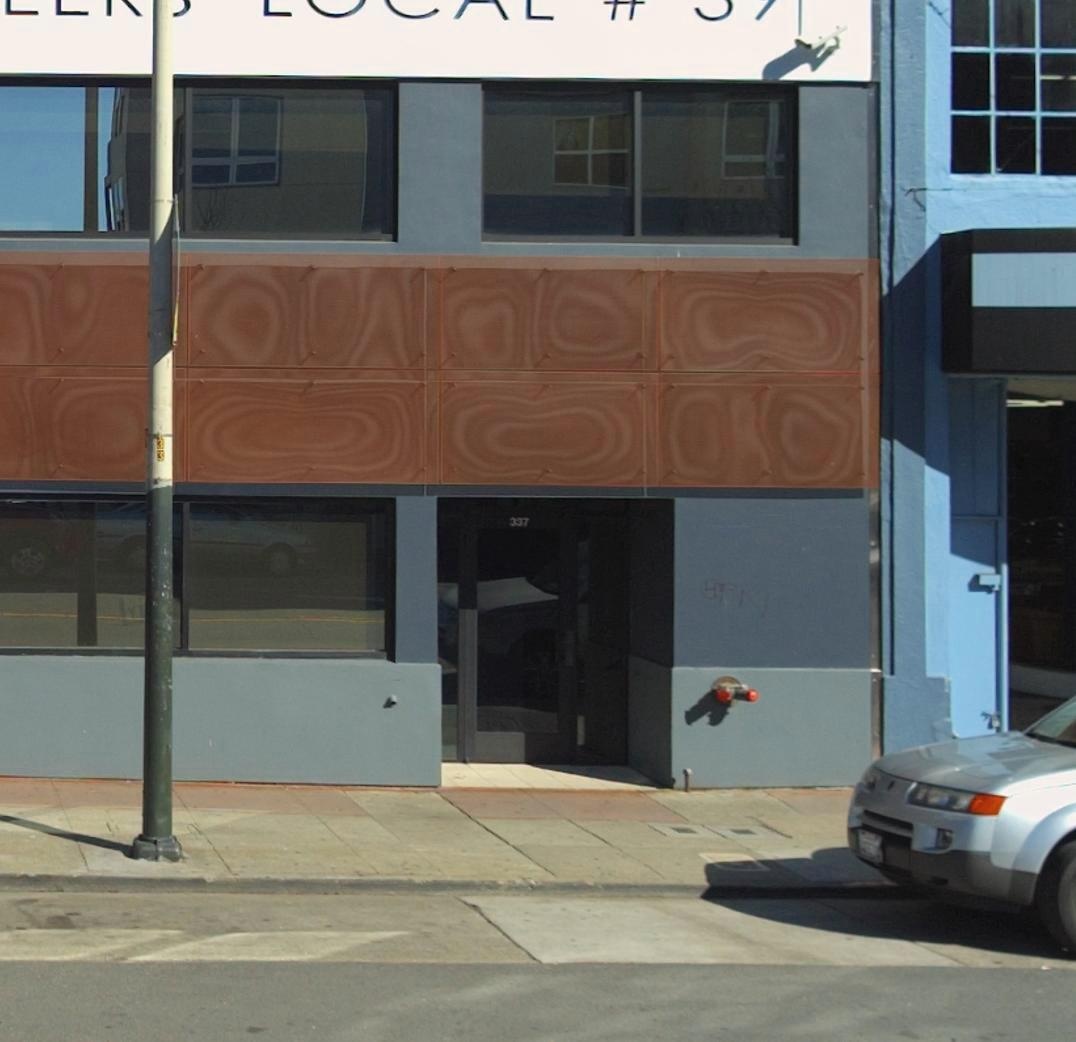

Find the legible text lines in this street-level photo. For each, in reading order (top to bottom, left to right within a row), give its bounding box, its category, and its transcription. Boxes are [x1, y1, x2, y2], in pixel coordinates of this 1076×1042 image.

[156, 438, 164, 461] None: 33
[508, 515, 530, 528] StreetNumber: 337